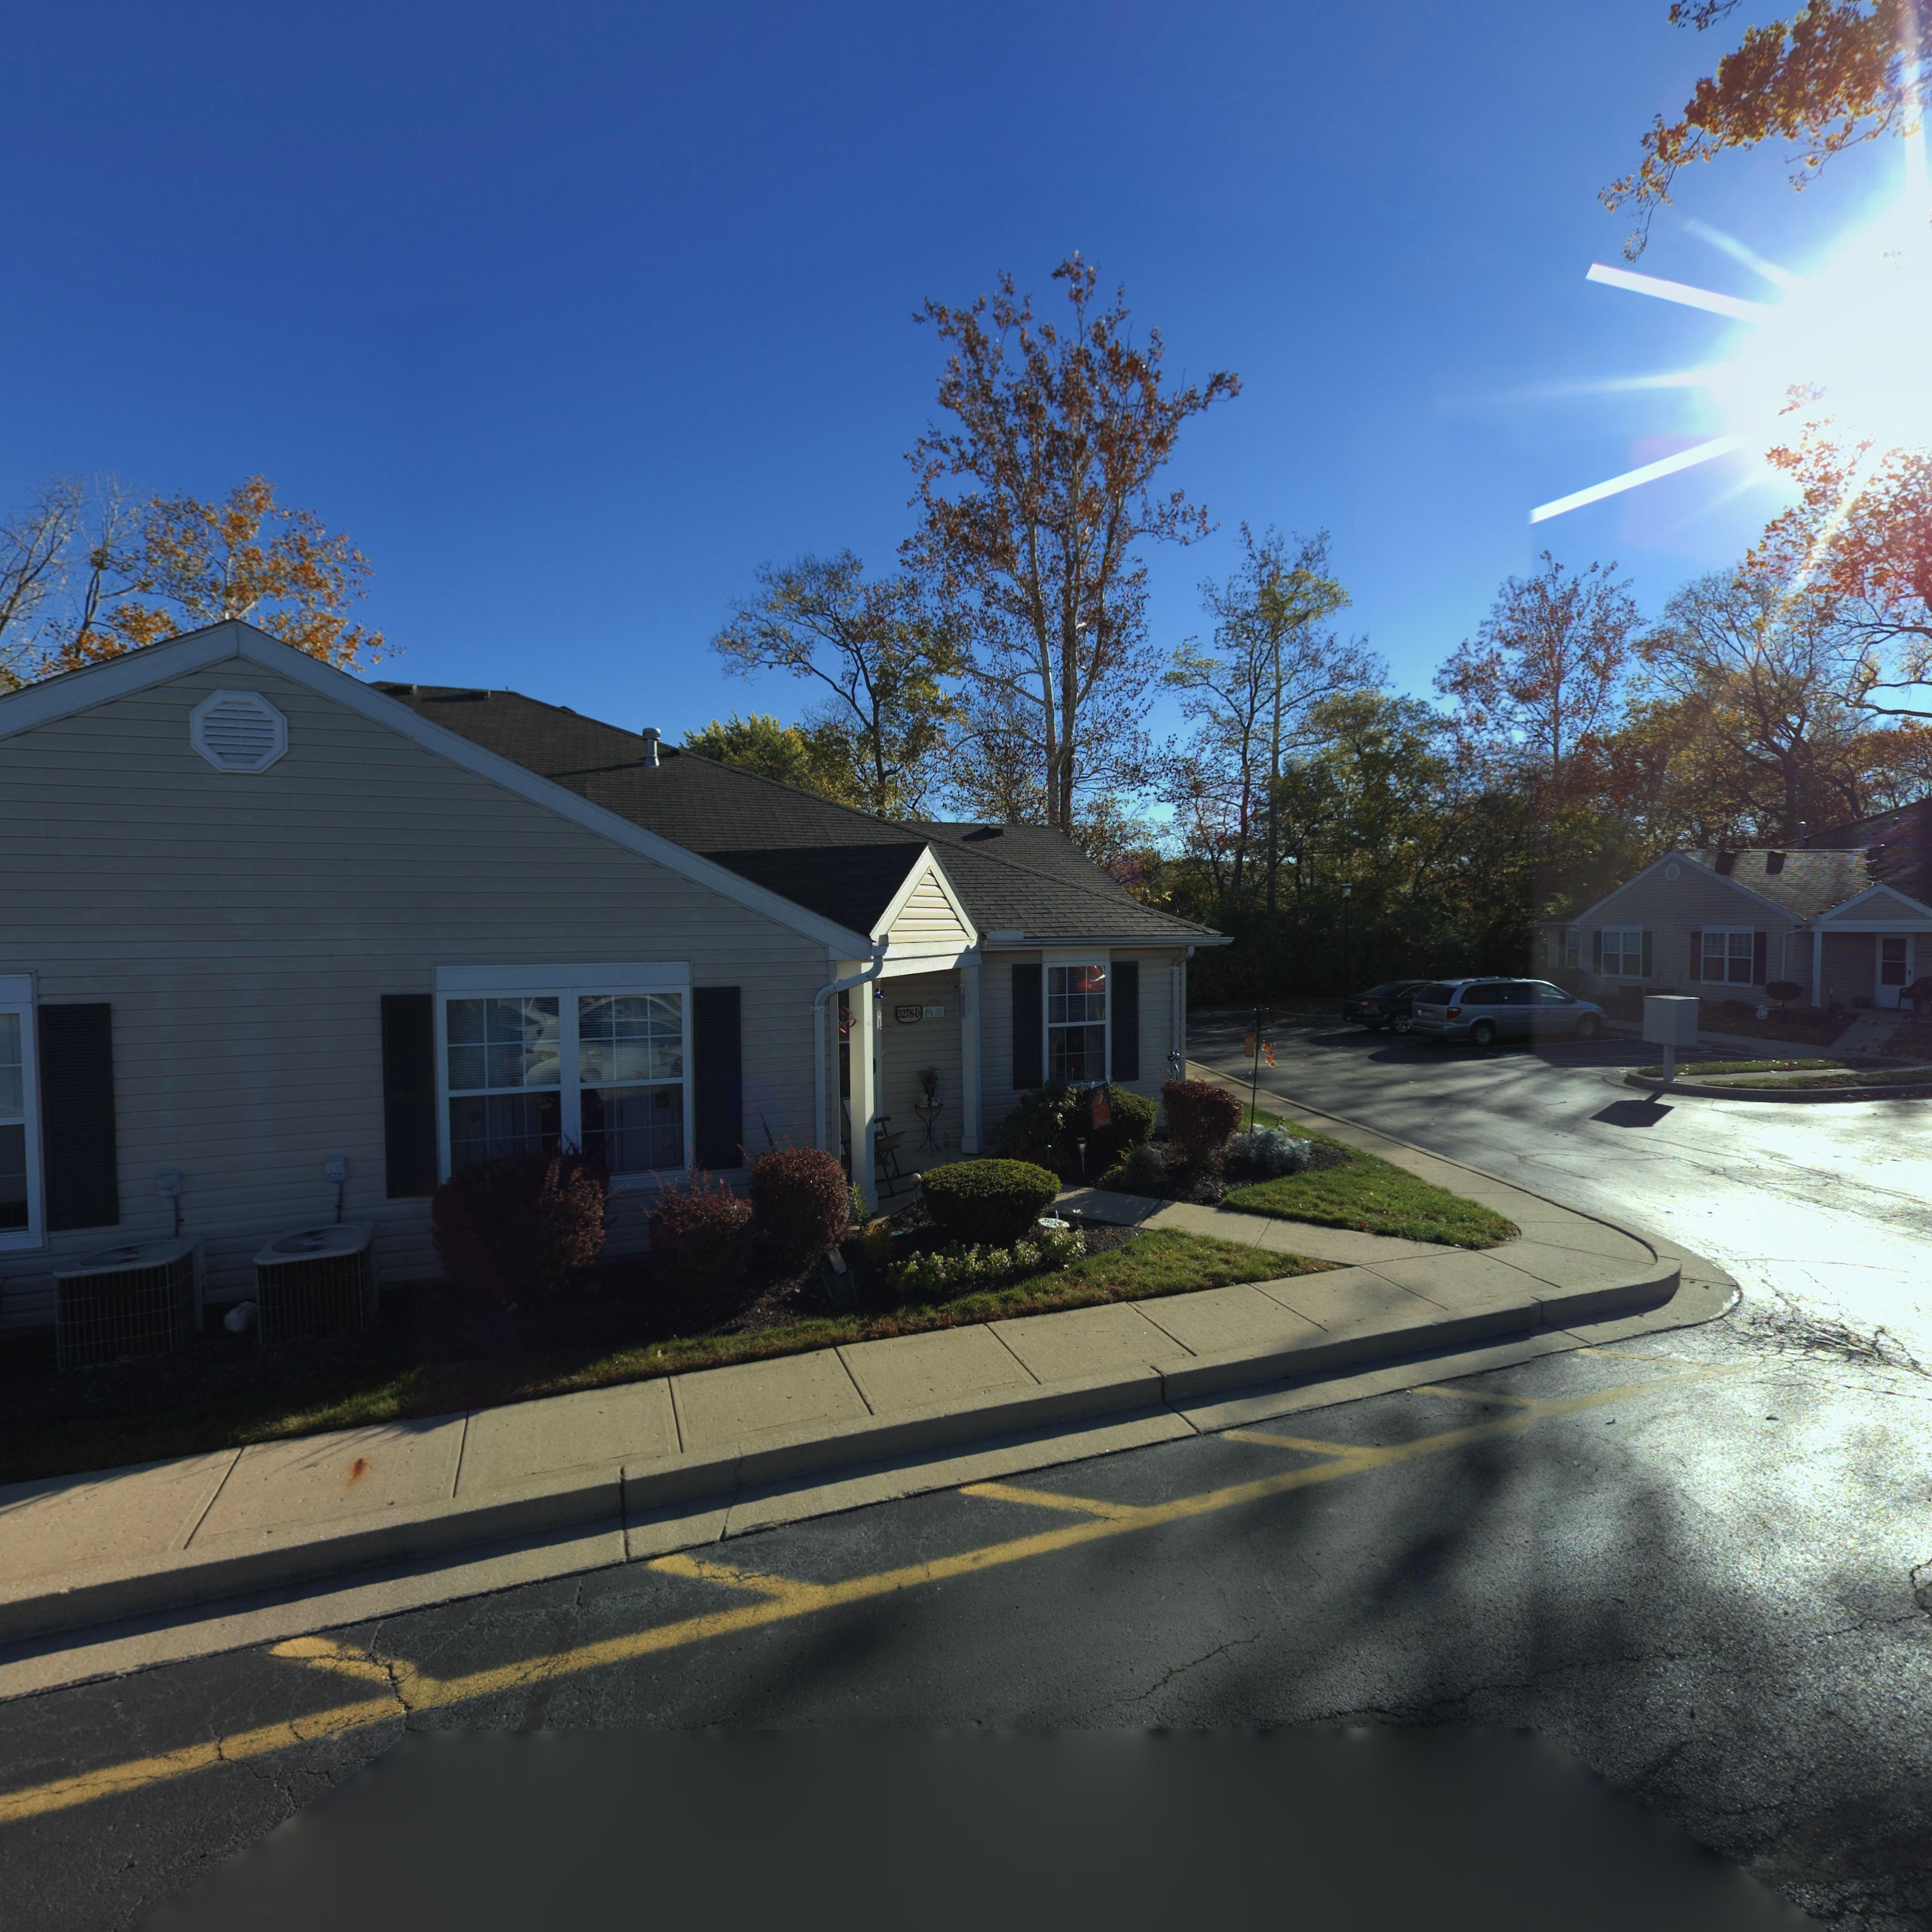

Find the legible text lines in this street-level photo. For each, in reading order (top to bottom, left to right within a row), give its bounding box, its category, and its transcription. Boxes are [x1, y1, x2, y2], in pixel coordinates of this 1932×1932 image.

[898, 1008, 920, 1019] StreetNumber: 5278-D